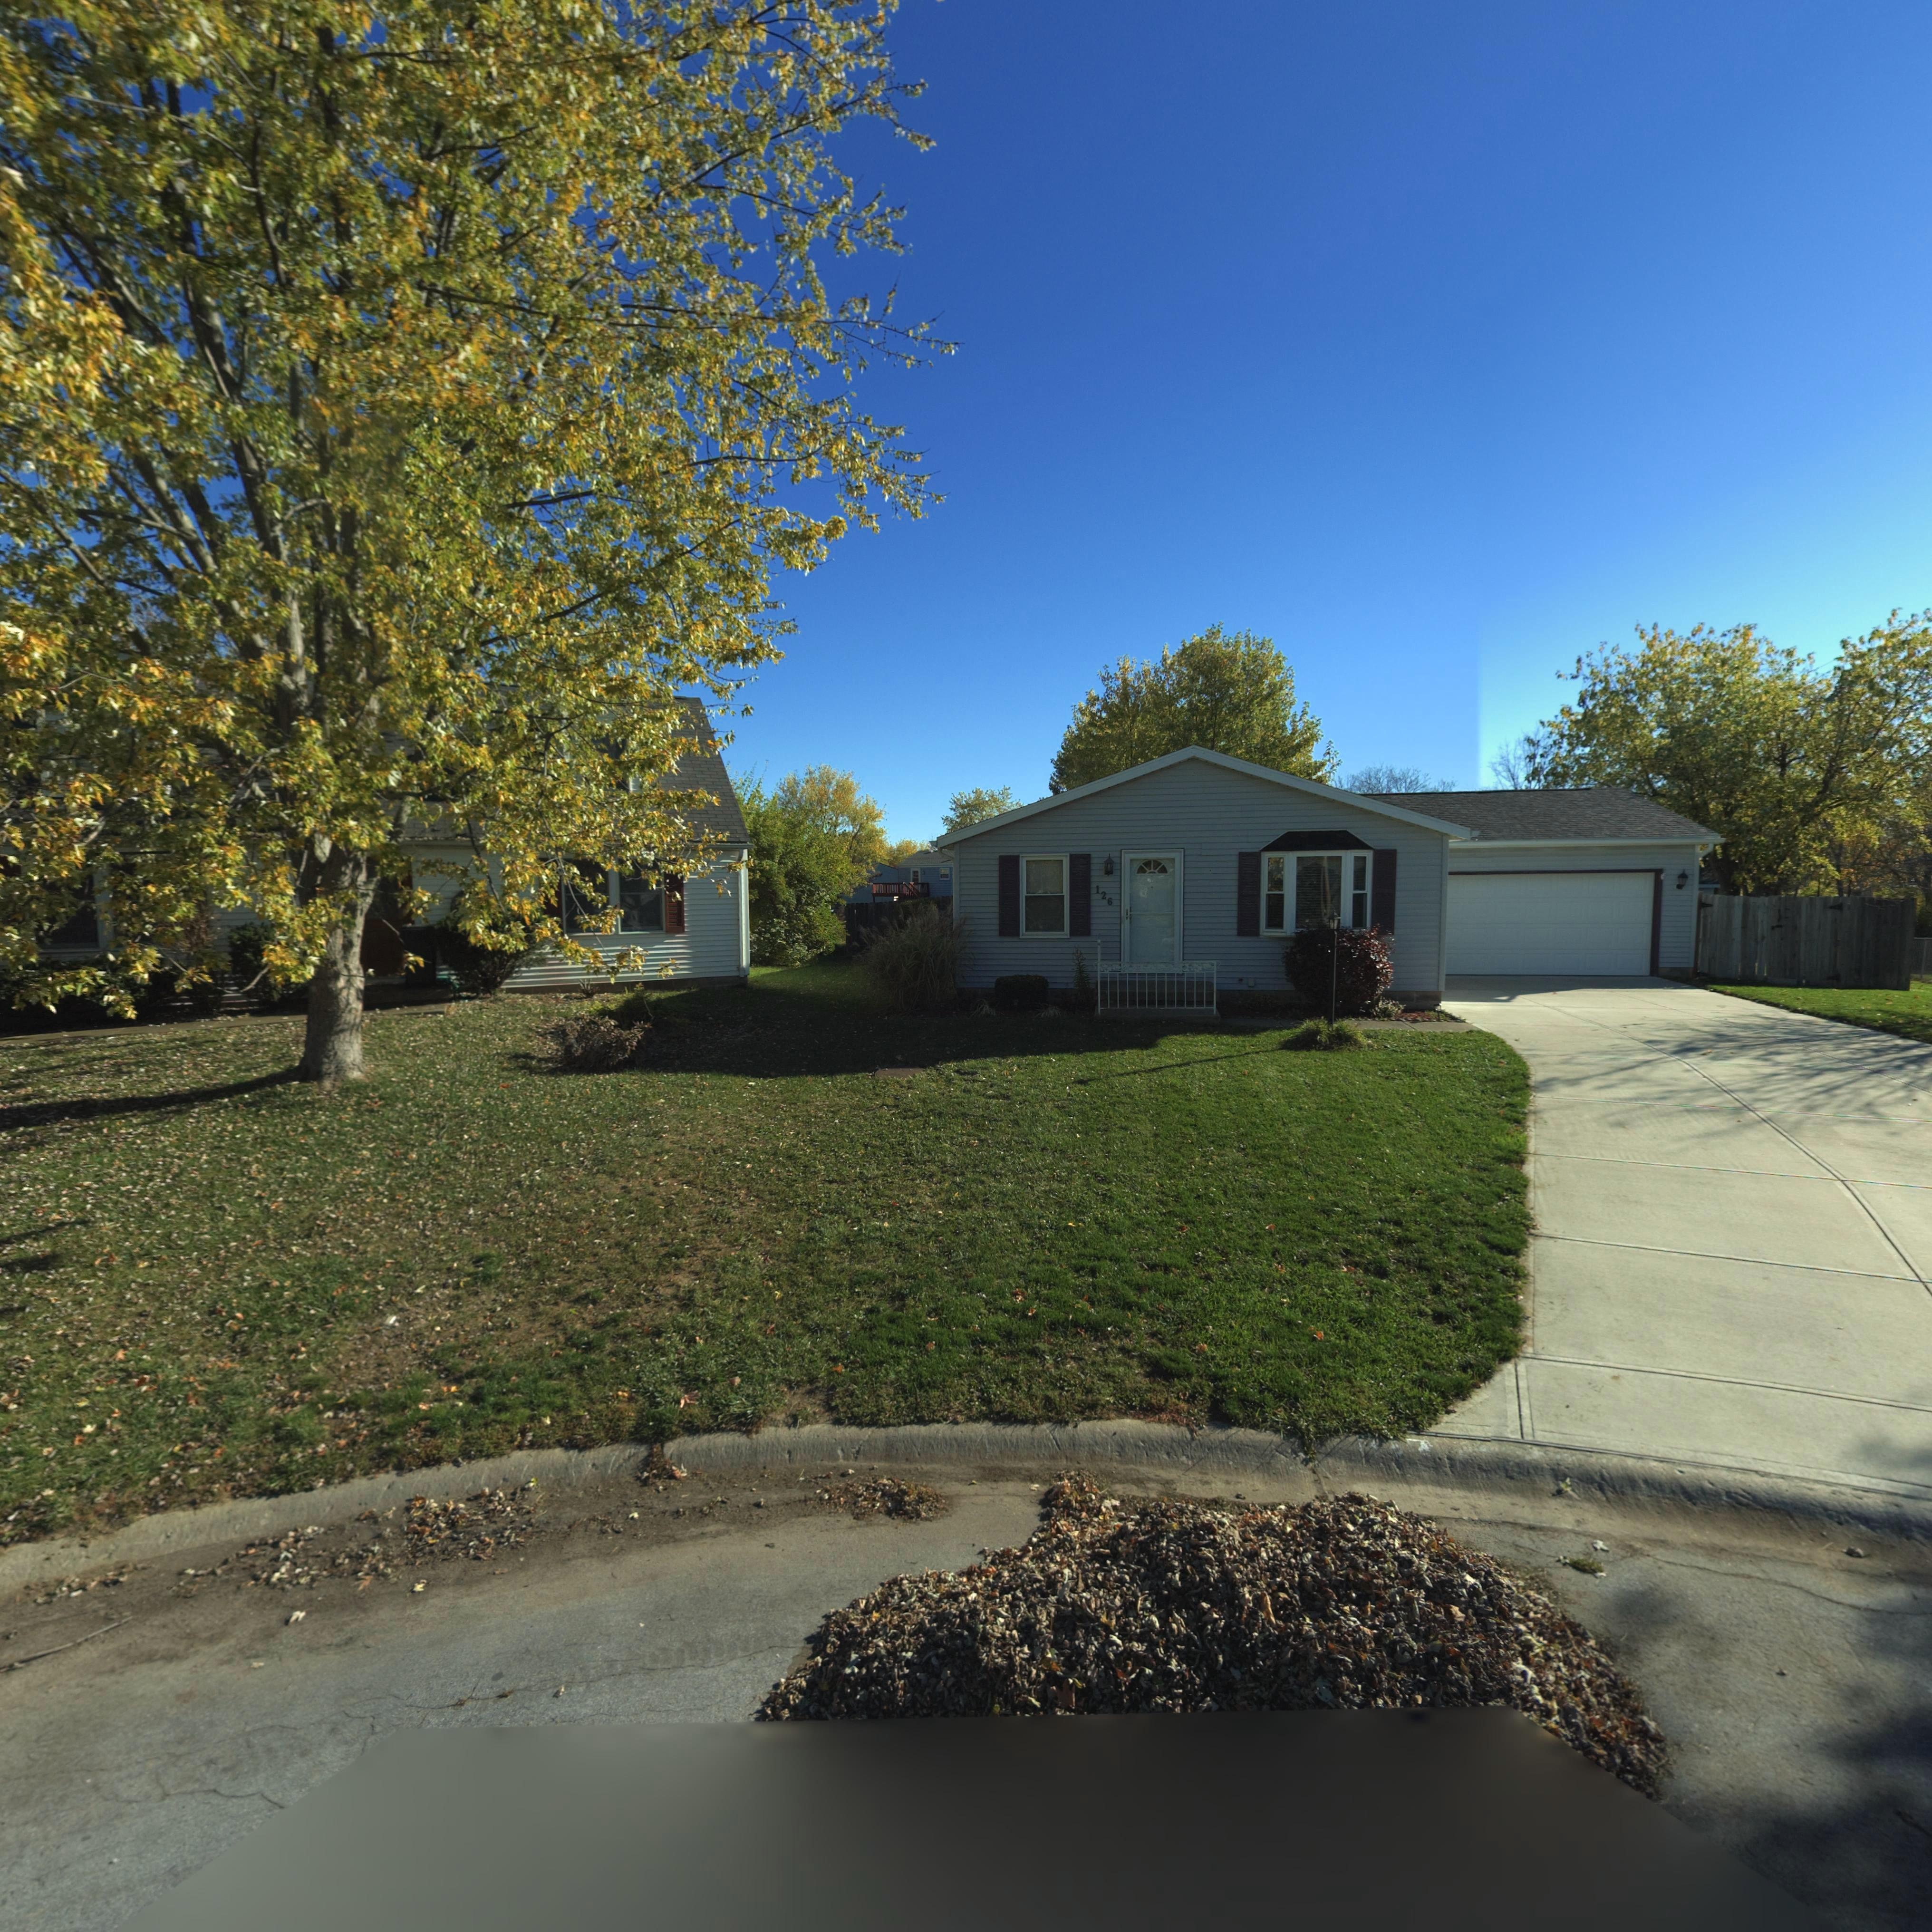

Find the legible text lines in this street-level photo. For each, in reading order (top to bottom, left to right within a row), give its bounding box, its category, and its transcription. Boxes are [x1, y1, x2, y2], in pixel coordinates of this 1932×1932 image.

[1095, 885, 1113, 906] StreetNumber: 126